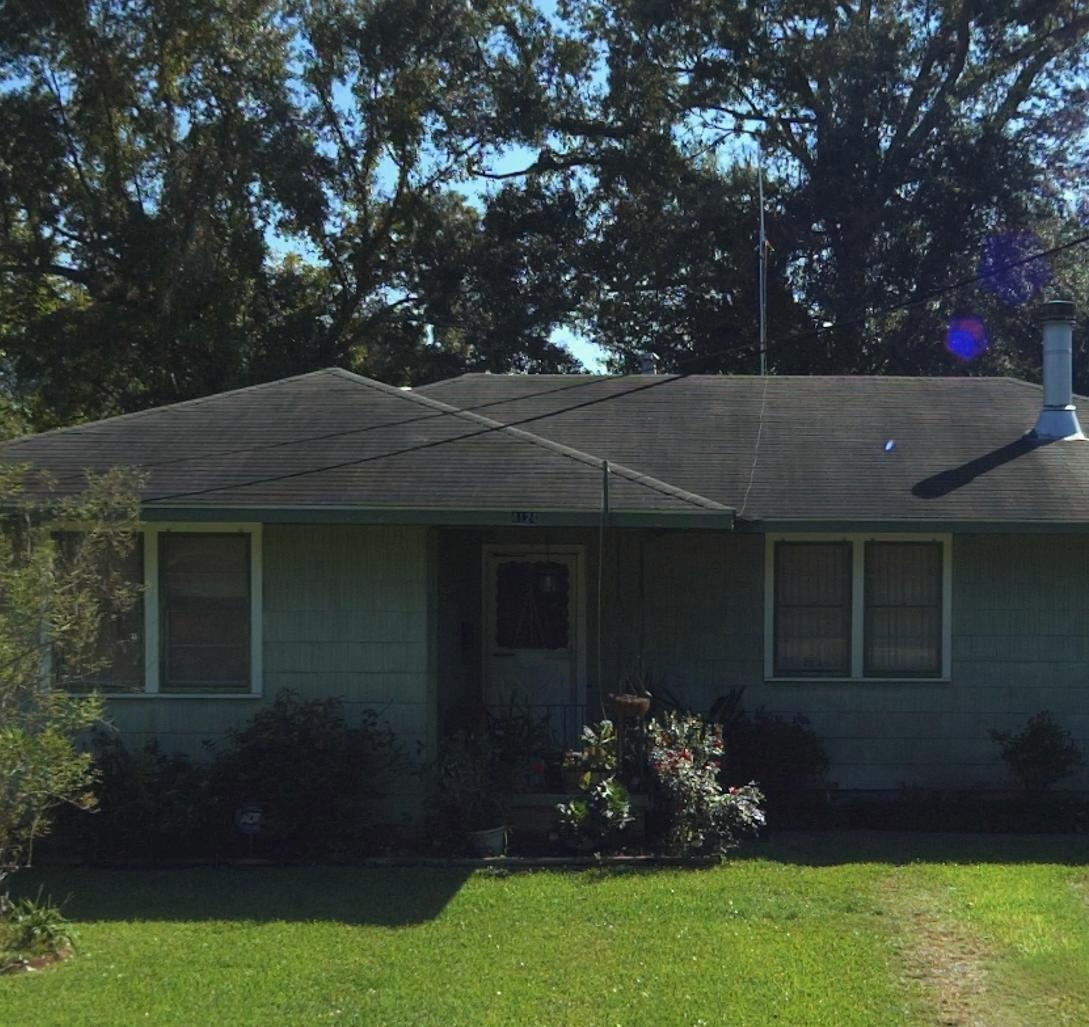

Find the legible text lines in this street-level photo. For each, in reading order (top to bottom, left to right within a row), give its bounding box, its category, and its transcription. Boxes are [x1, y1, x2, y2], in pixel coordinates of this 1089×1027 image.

[511, 511, 538, 524] StreetNumber: 4124
[239, 812, 262, 824] None: ADT